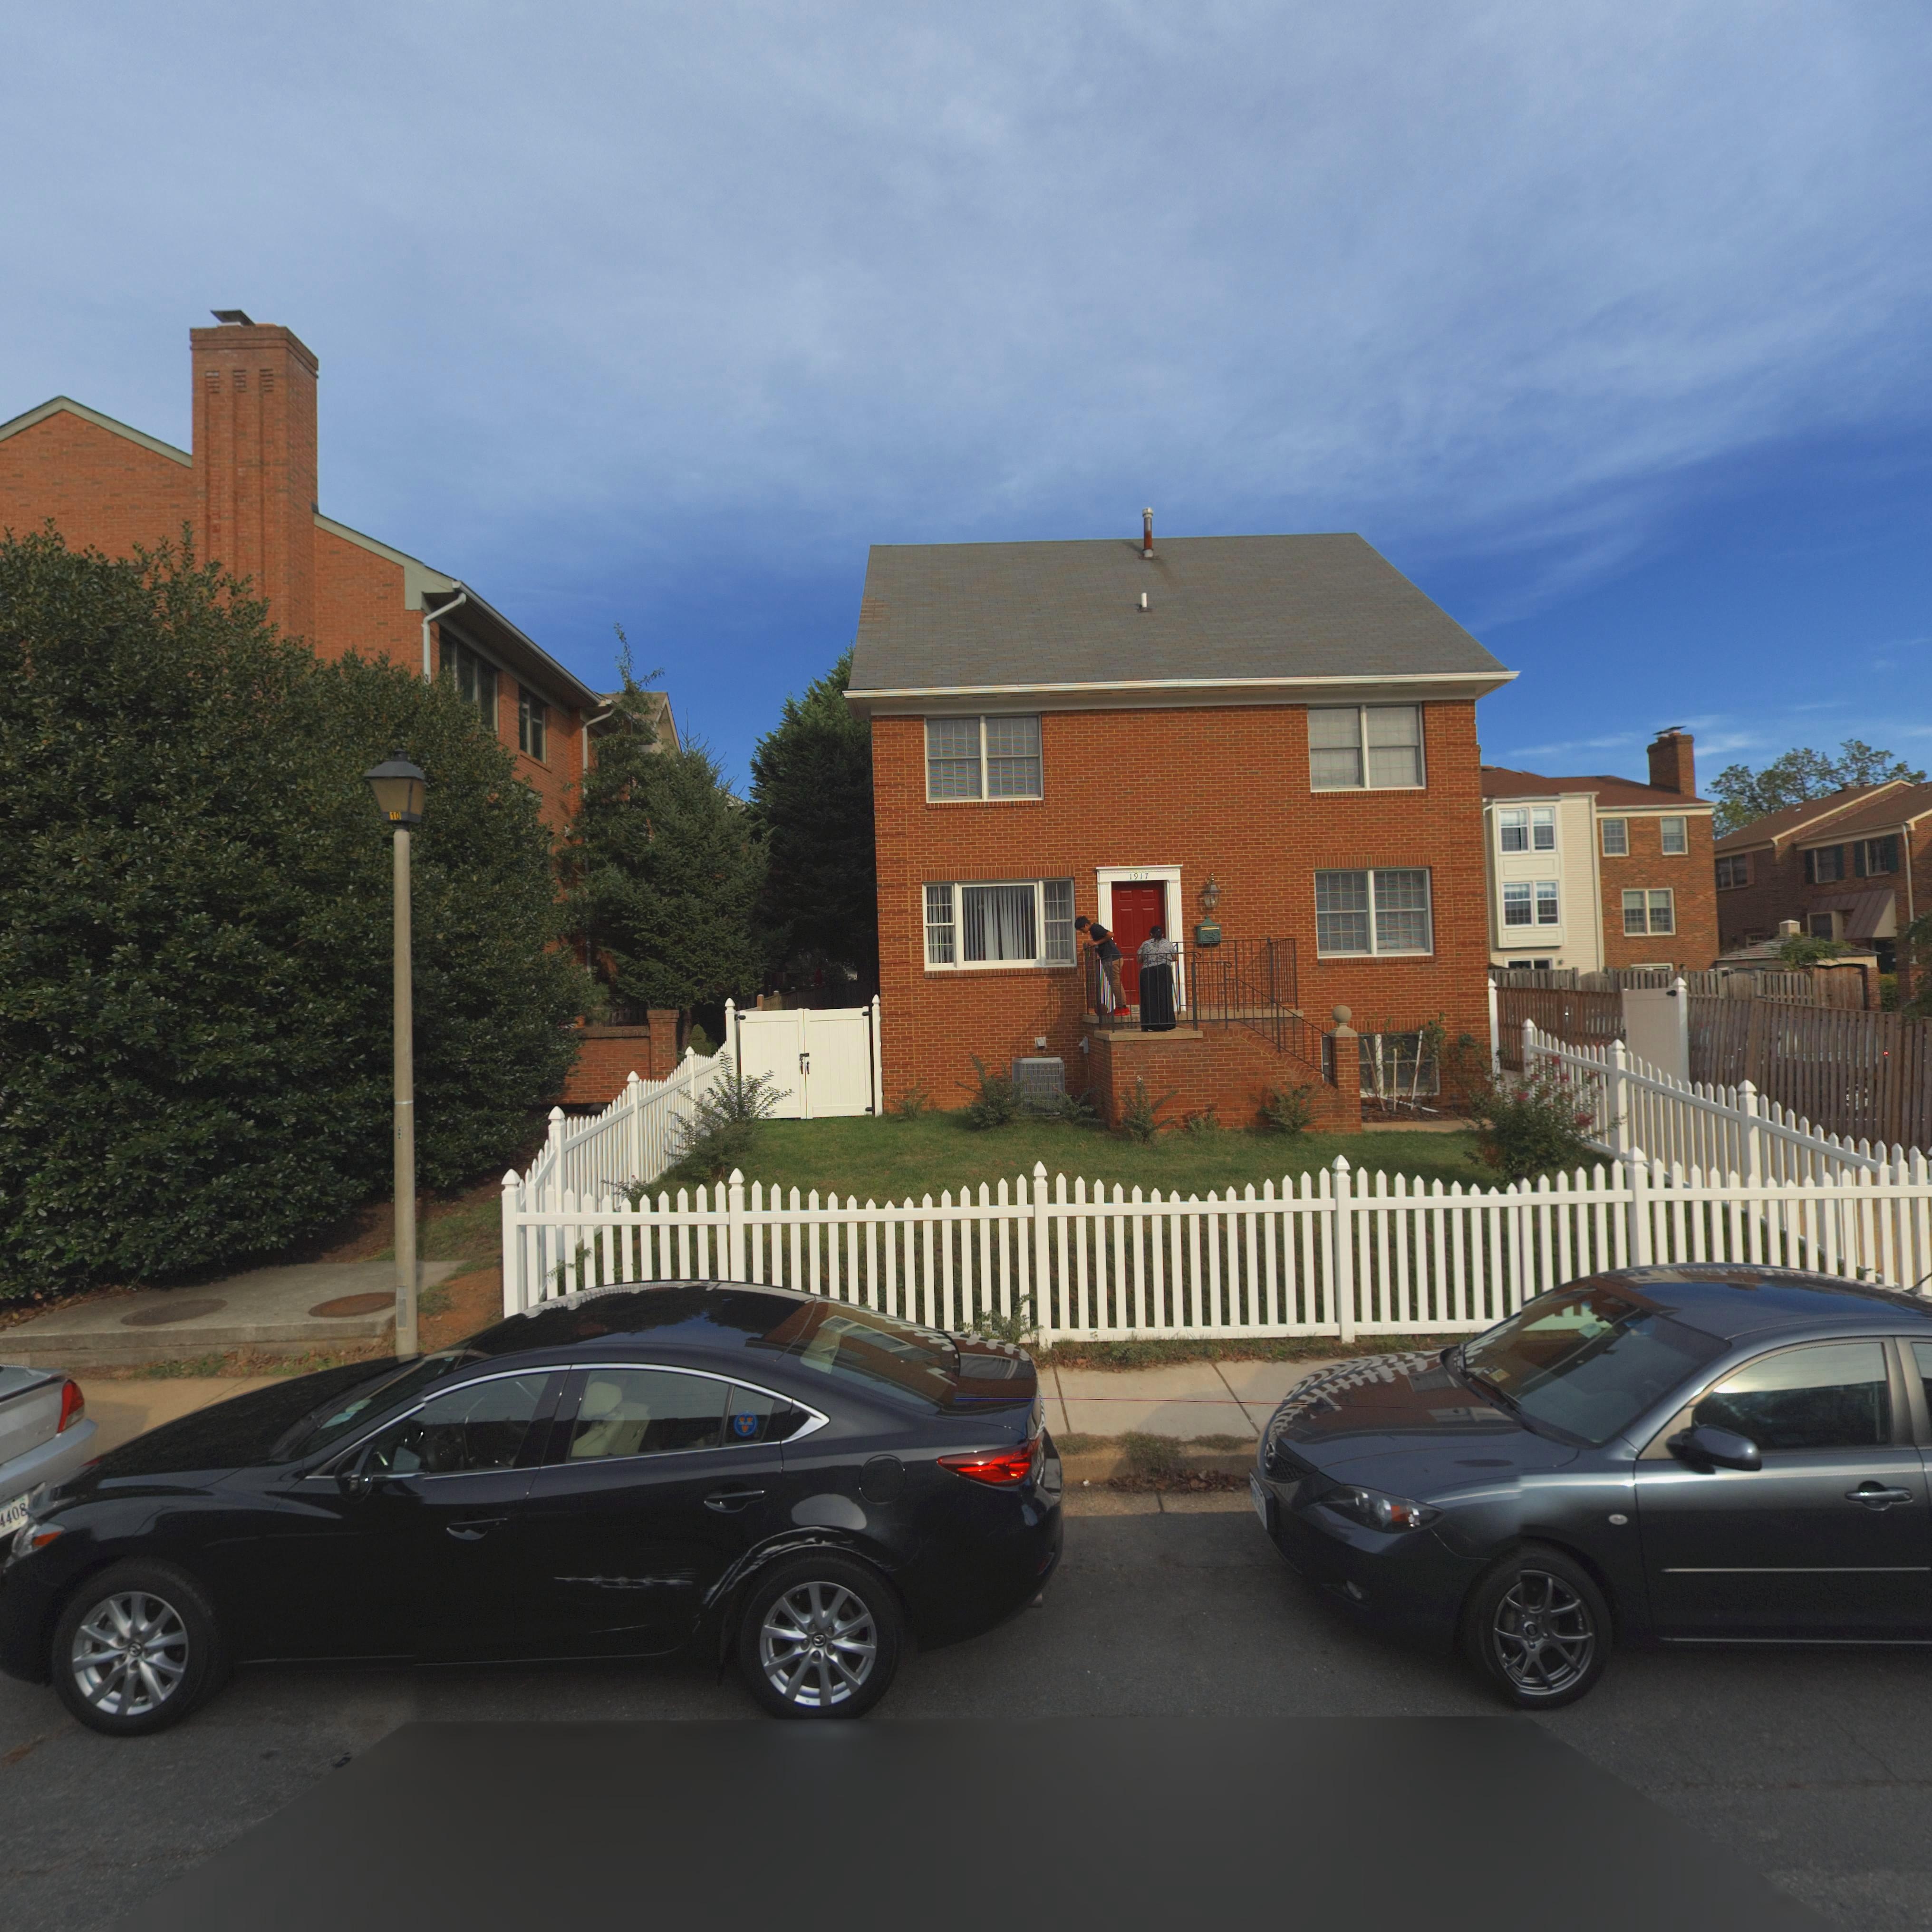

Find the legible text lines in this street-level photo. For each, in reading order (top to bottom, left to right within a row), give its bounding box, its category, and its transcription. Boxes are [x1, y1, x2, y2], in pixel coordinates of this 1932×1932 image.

[390, 811, 401, 820] None: 10
[1129, 872, 1149, 880] StreetNumber: 1917